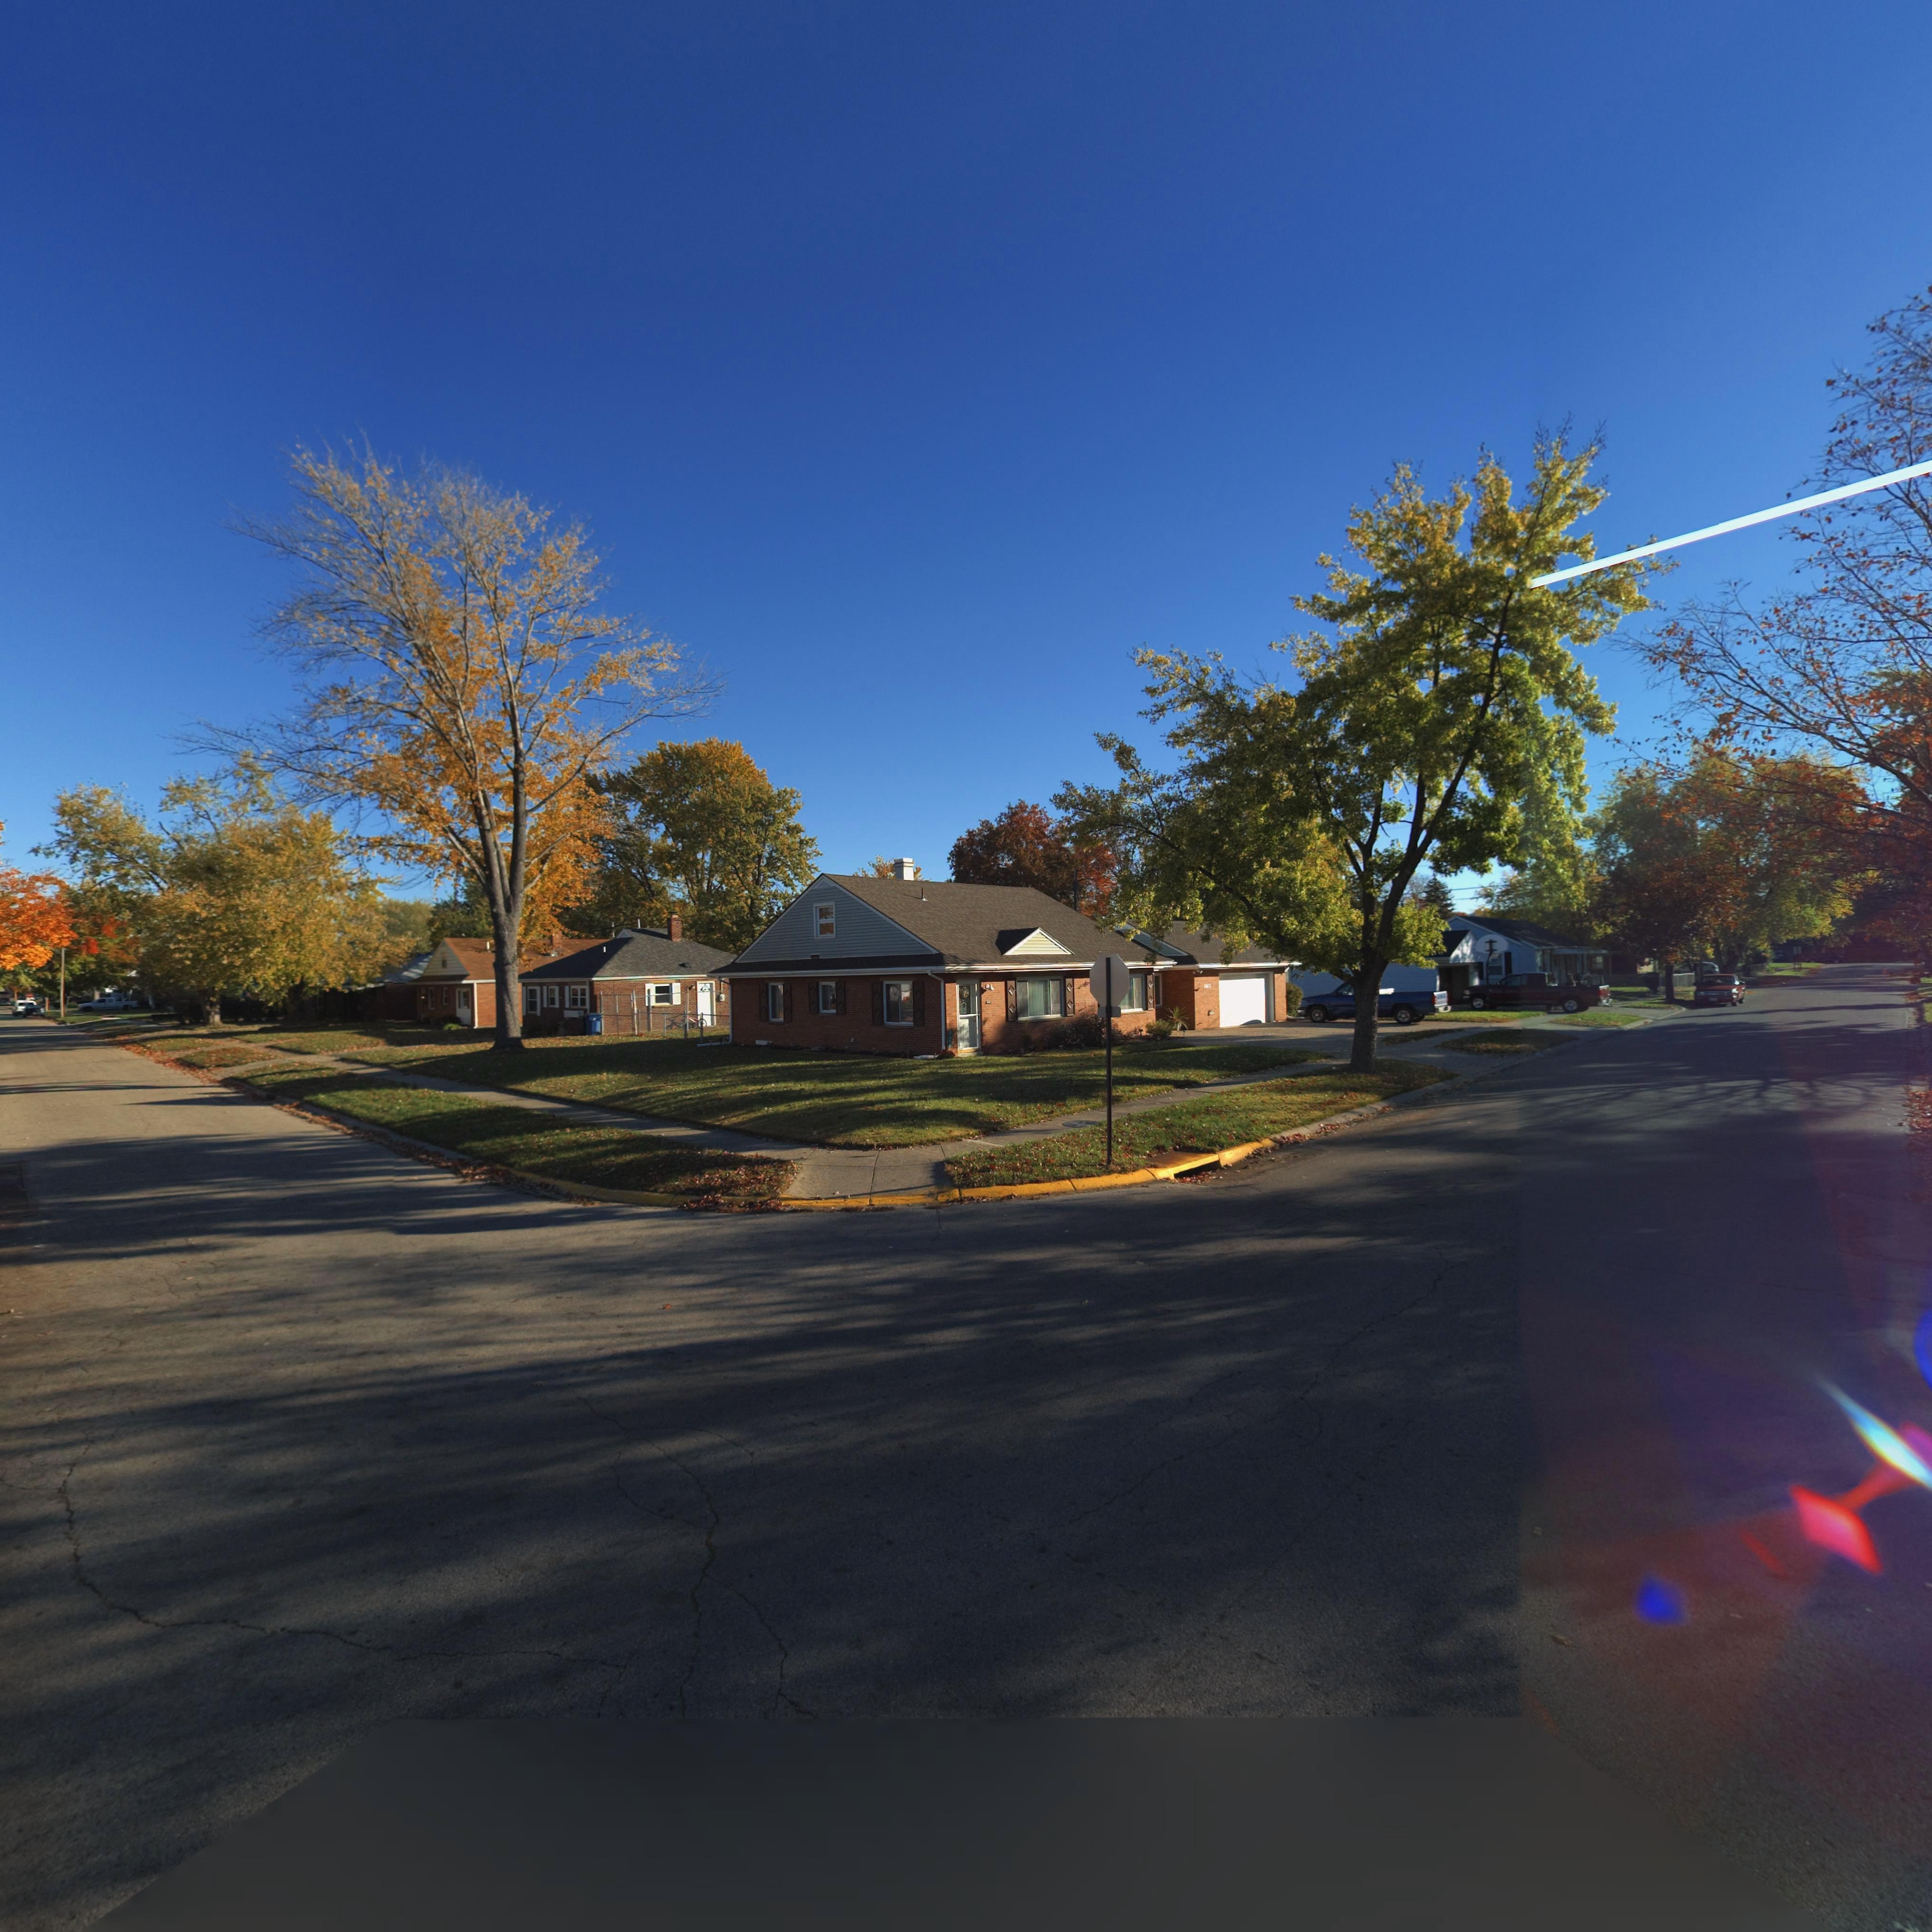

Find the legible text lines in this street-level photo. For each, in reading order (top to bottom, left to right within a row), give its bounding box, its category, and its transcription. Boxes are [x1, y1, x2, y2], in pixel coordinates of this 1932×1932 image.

[1203, 983, 1212, 989] StreetNumber: ***5
[948, 1031, 952, 1049] StreetNumber: 2**5